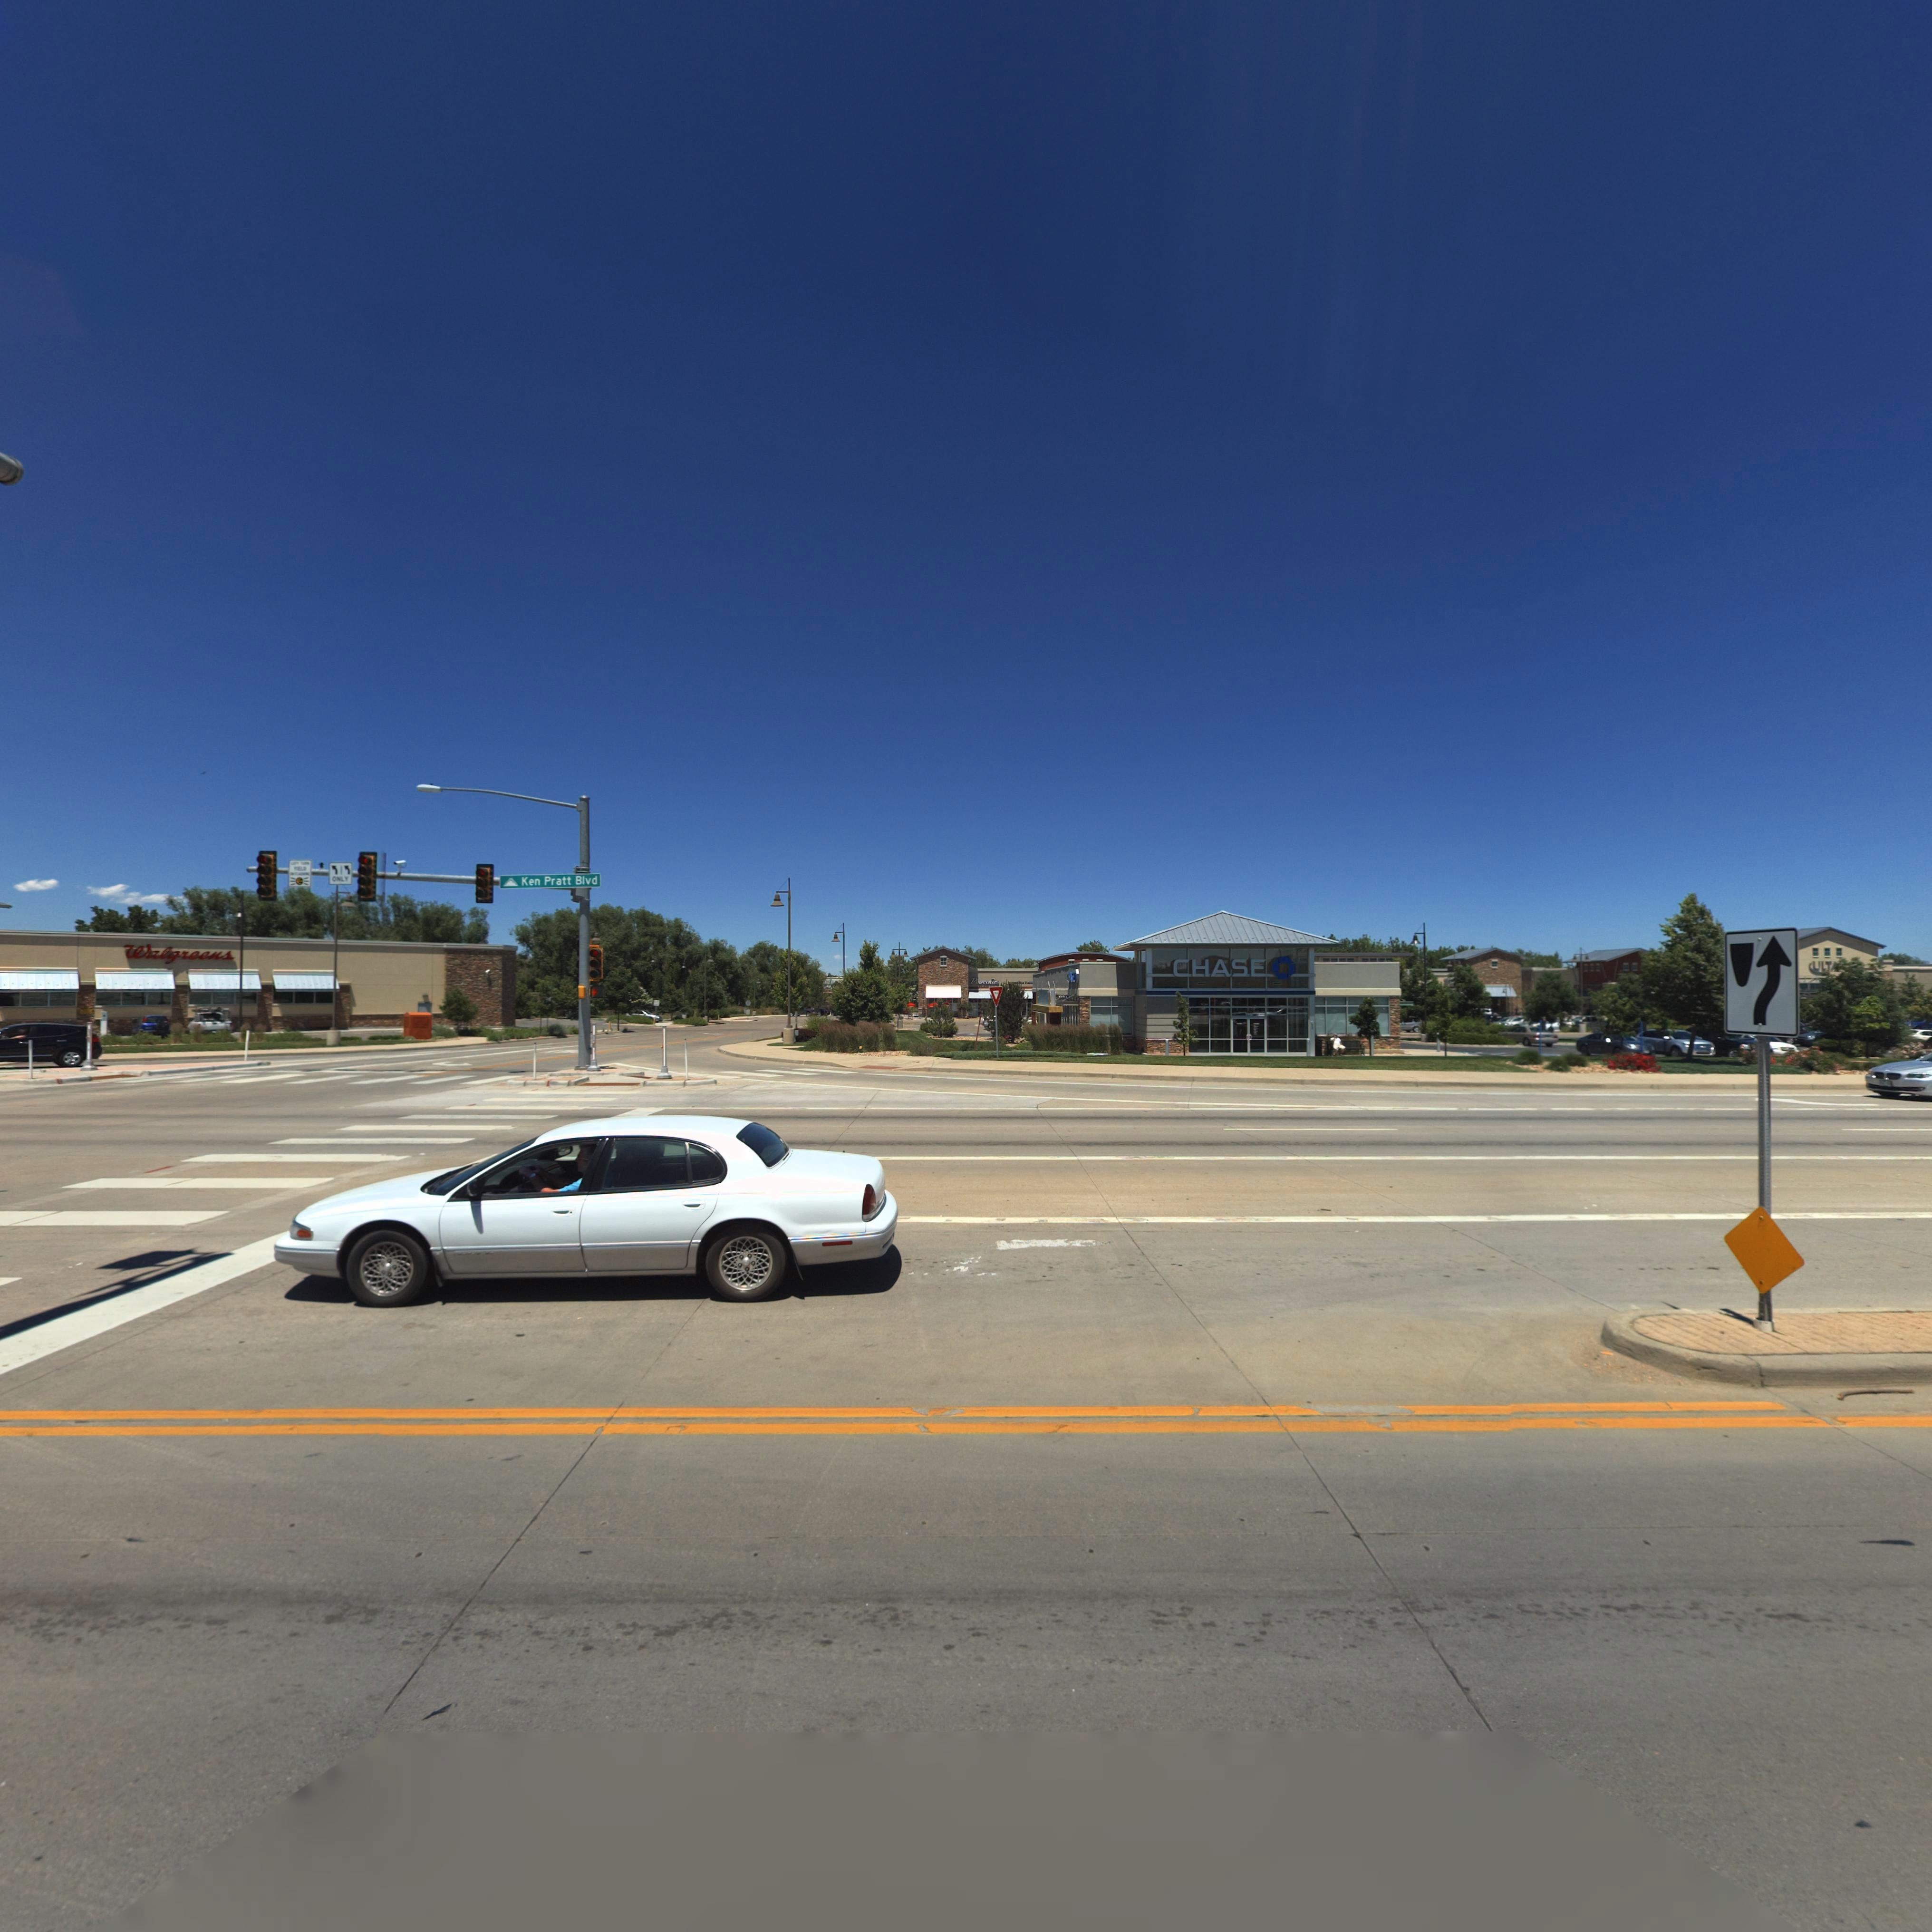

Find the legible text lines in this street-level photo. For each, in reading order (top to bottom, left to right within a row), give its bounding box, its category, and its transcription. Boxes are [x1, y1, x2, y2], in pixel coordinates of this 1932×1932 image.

[522, 875, 597, 886] StreetName: Ken Pratt Blvd
[123, 944, 234, 964] BusinessName: Walgreens
[1172, 958, 1264, 977] BusinessName: CHASE
[1812, 961, 1832, 970] BusinessName: ULT
[970, 977, 999, 984] BusinessName: P****dios